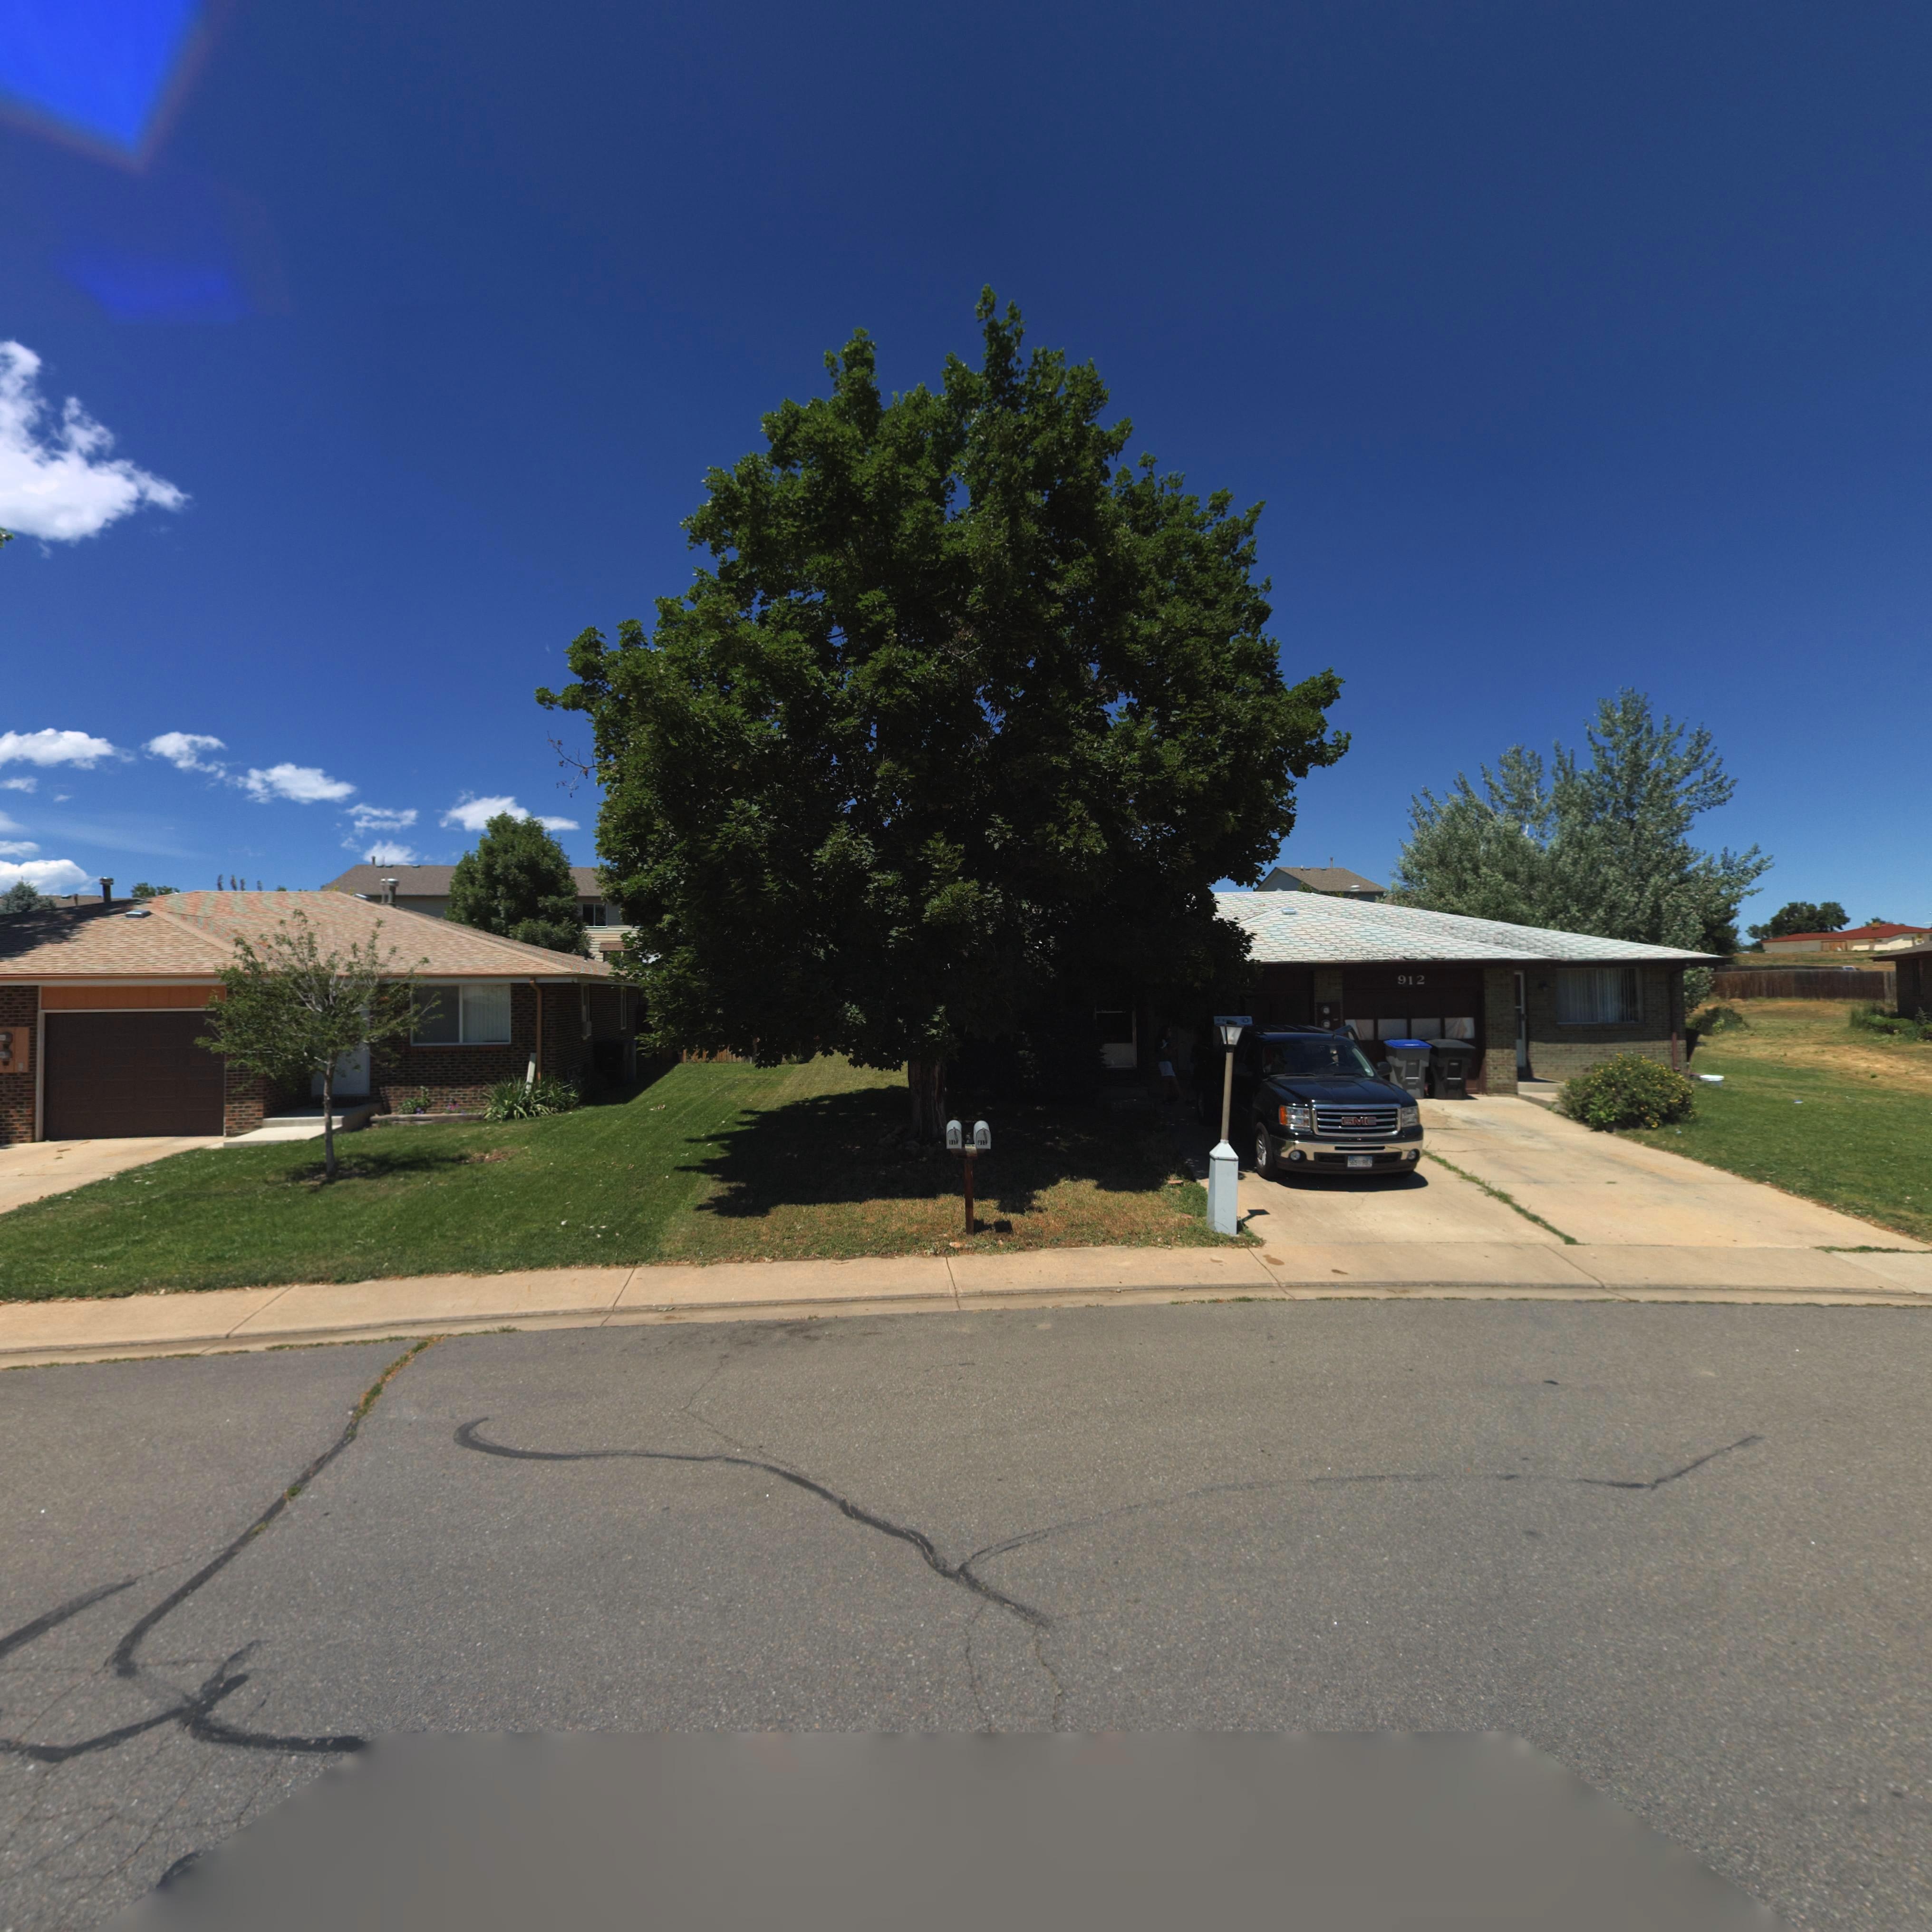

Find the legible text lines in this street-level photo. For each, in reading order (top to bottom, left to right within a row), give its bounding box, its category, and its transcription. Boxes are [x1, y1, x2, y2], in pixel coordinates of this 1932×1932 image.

[1398, 975, 1425, 985] StreetNumber: 912
[950, 1140, 956, 1144] StreetNumber: *1*
[979, 1140, 986, 1145] StreetNumber: *1*